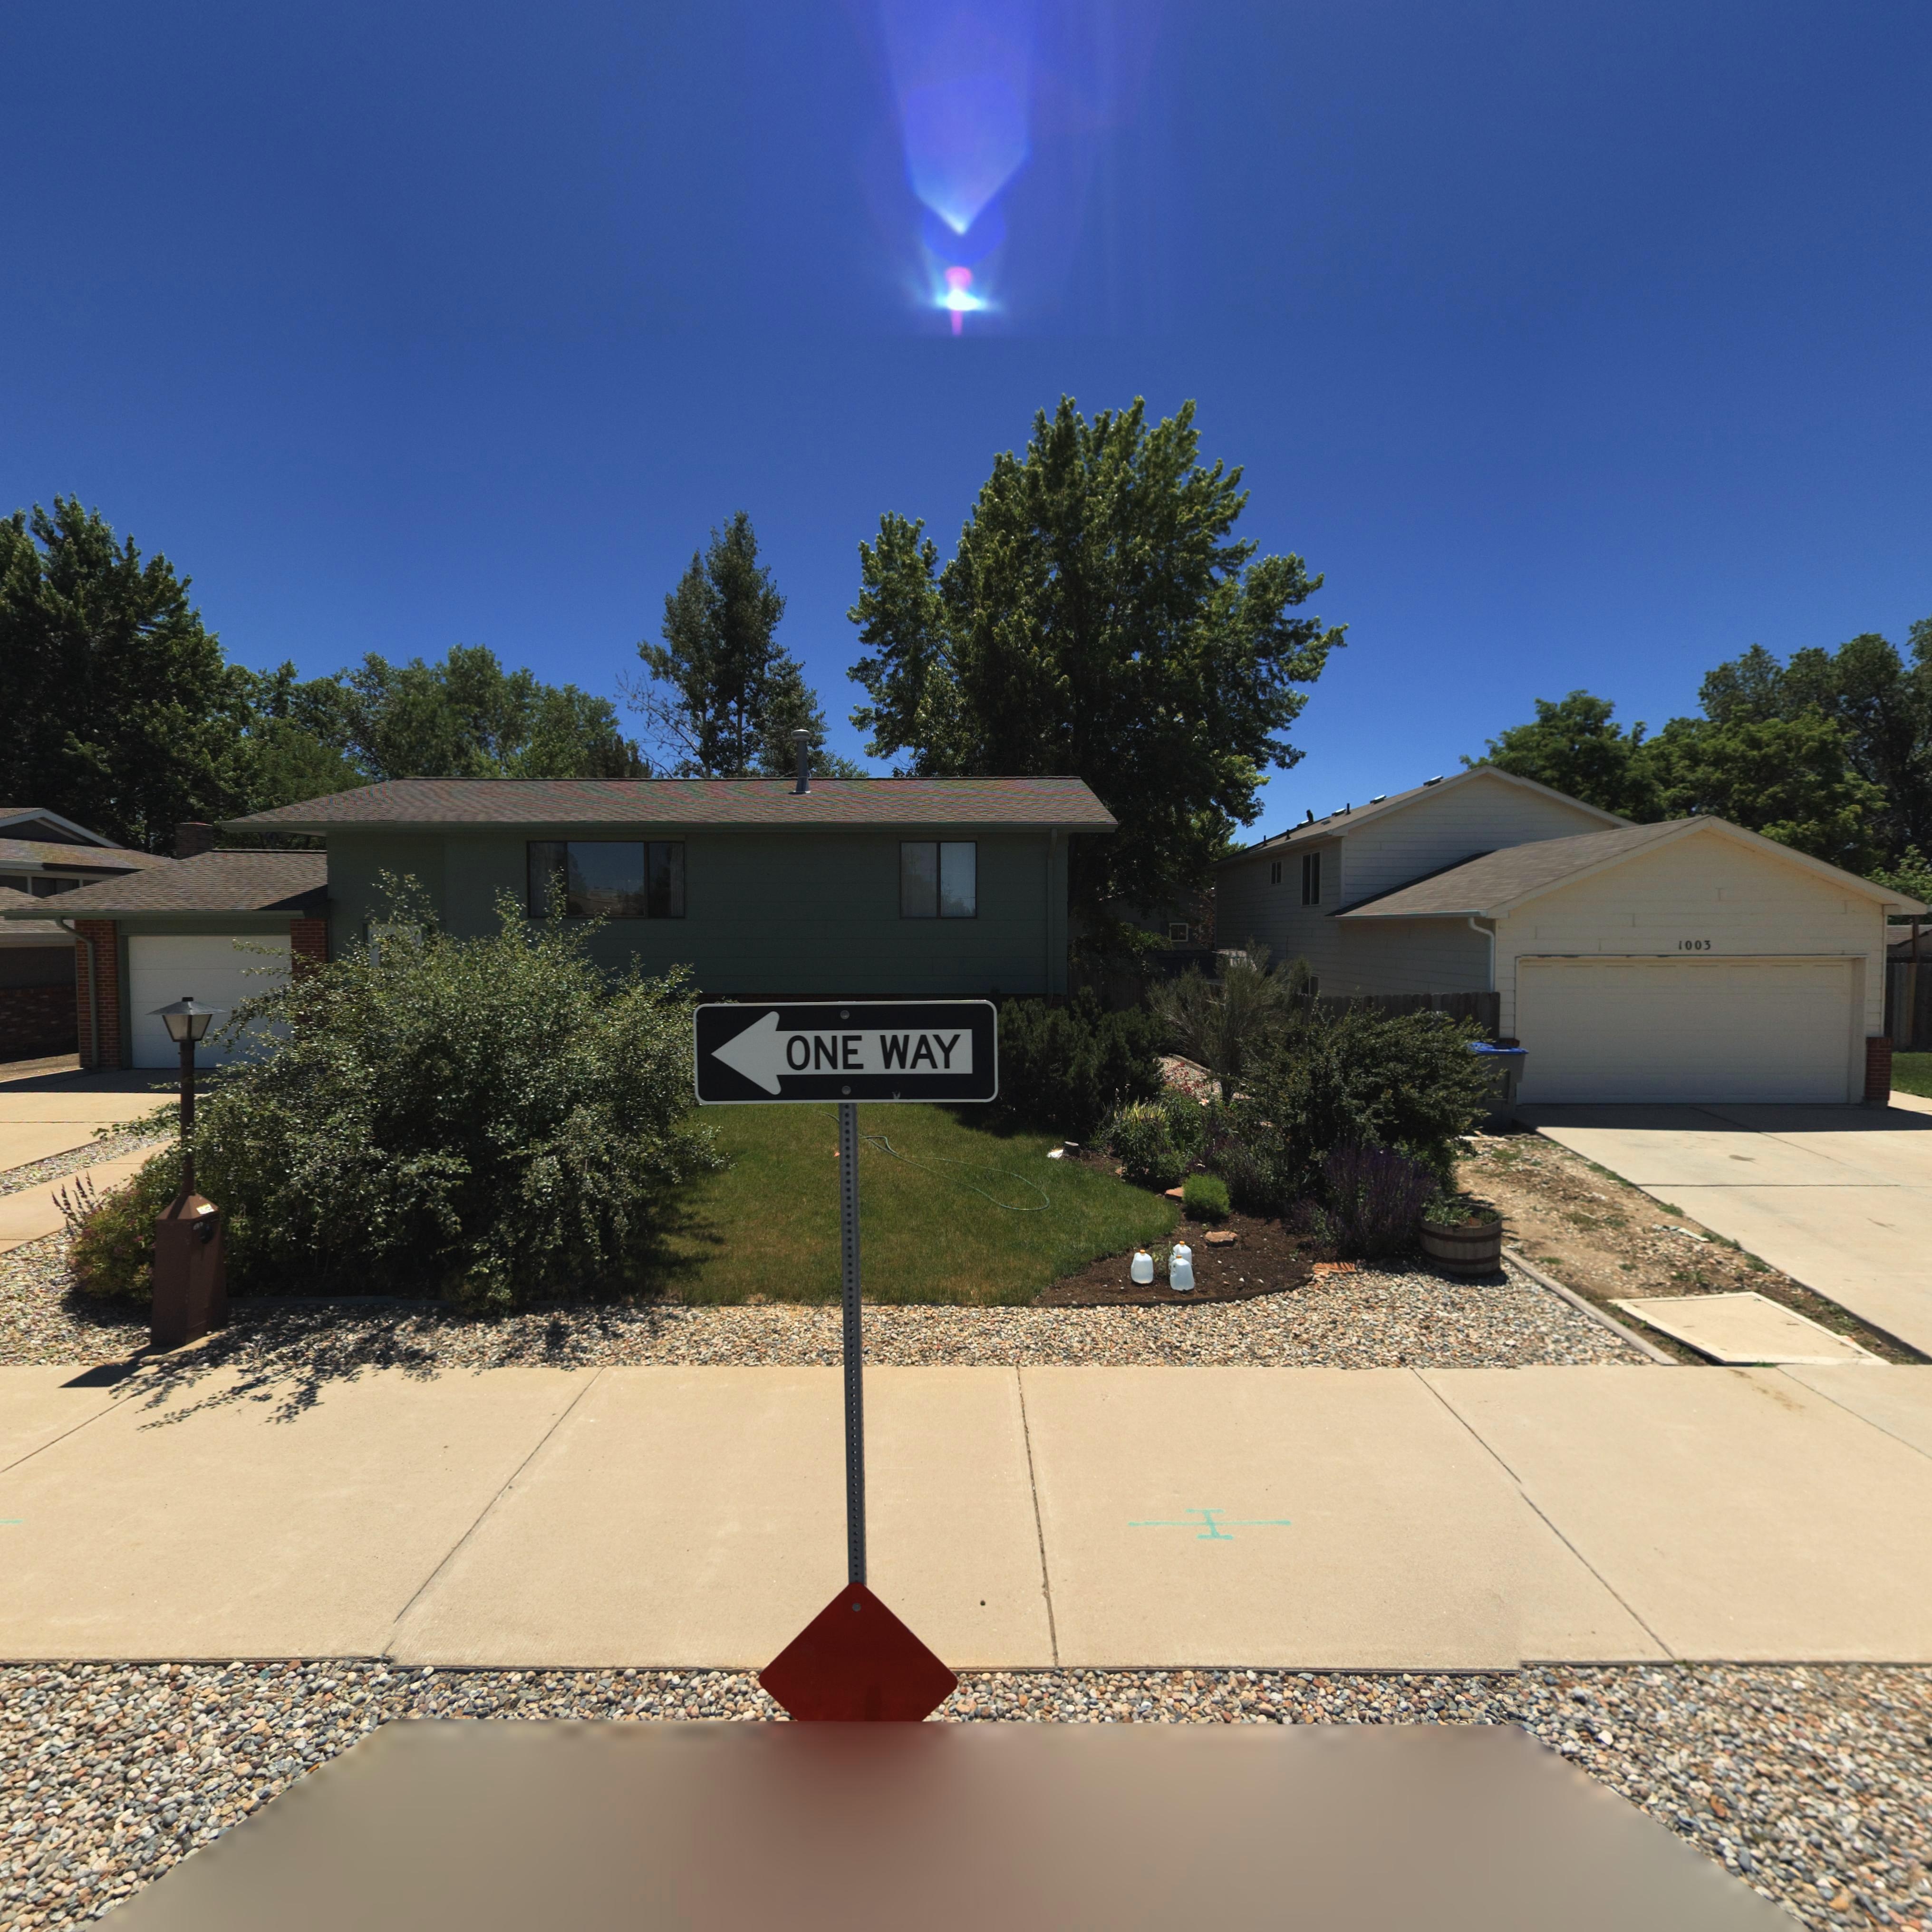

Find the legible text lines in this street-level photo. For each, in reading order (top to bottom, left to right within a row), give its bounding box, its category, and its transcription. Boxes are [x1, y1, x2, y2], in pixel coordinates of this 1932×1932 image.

[1676, 938, 1711, 951] StreetNumber: 1003